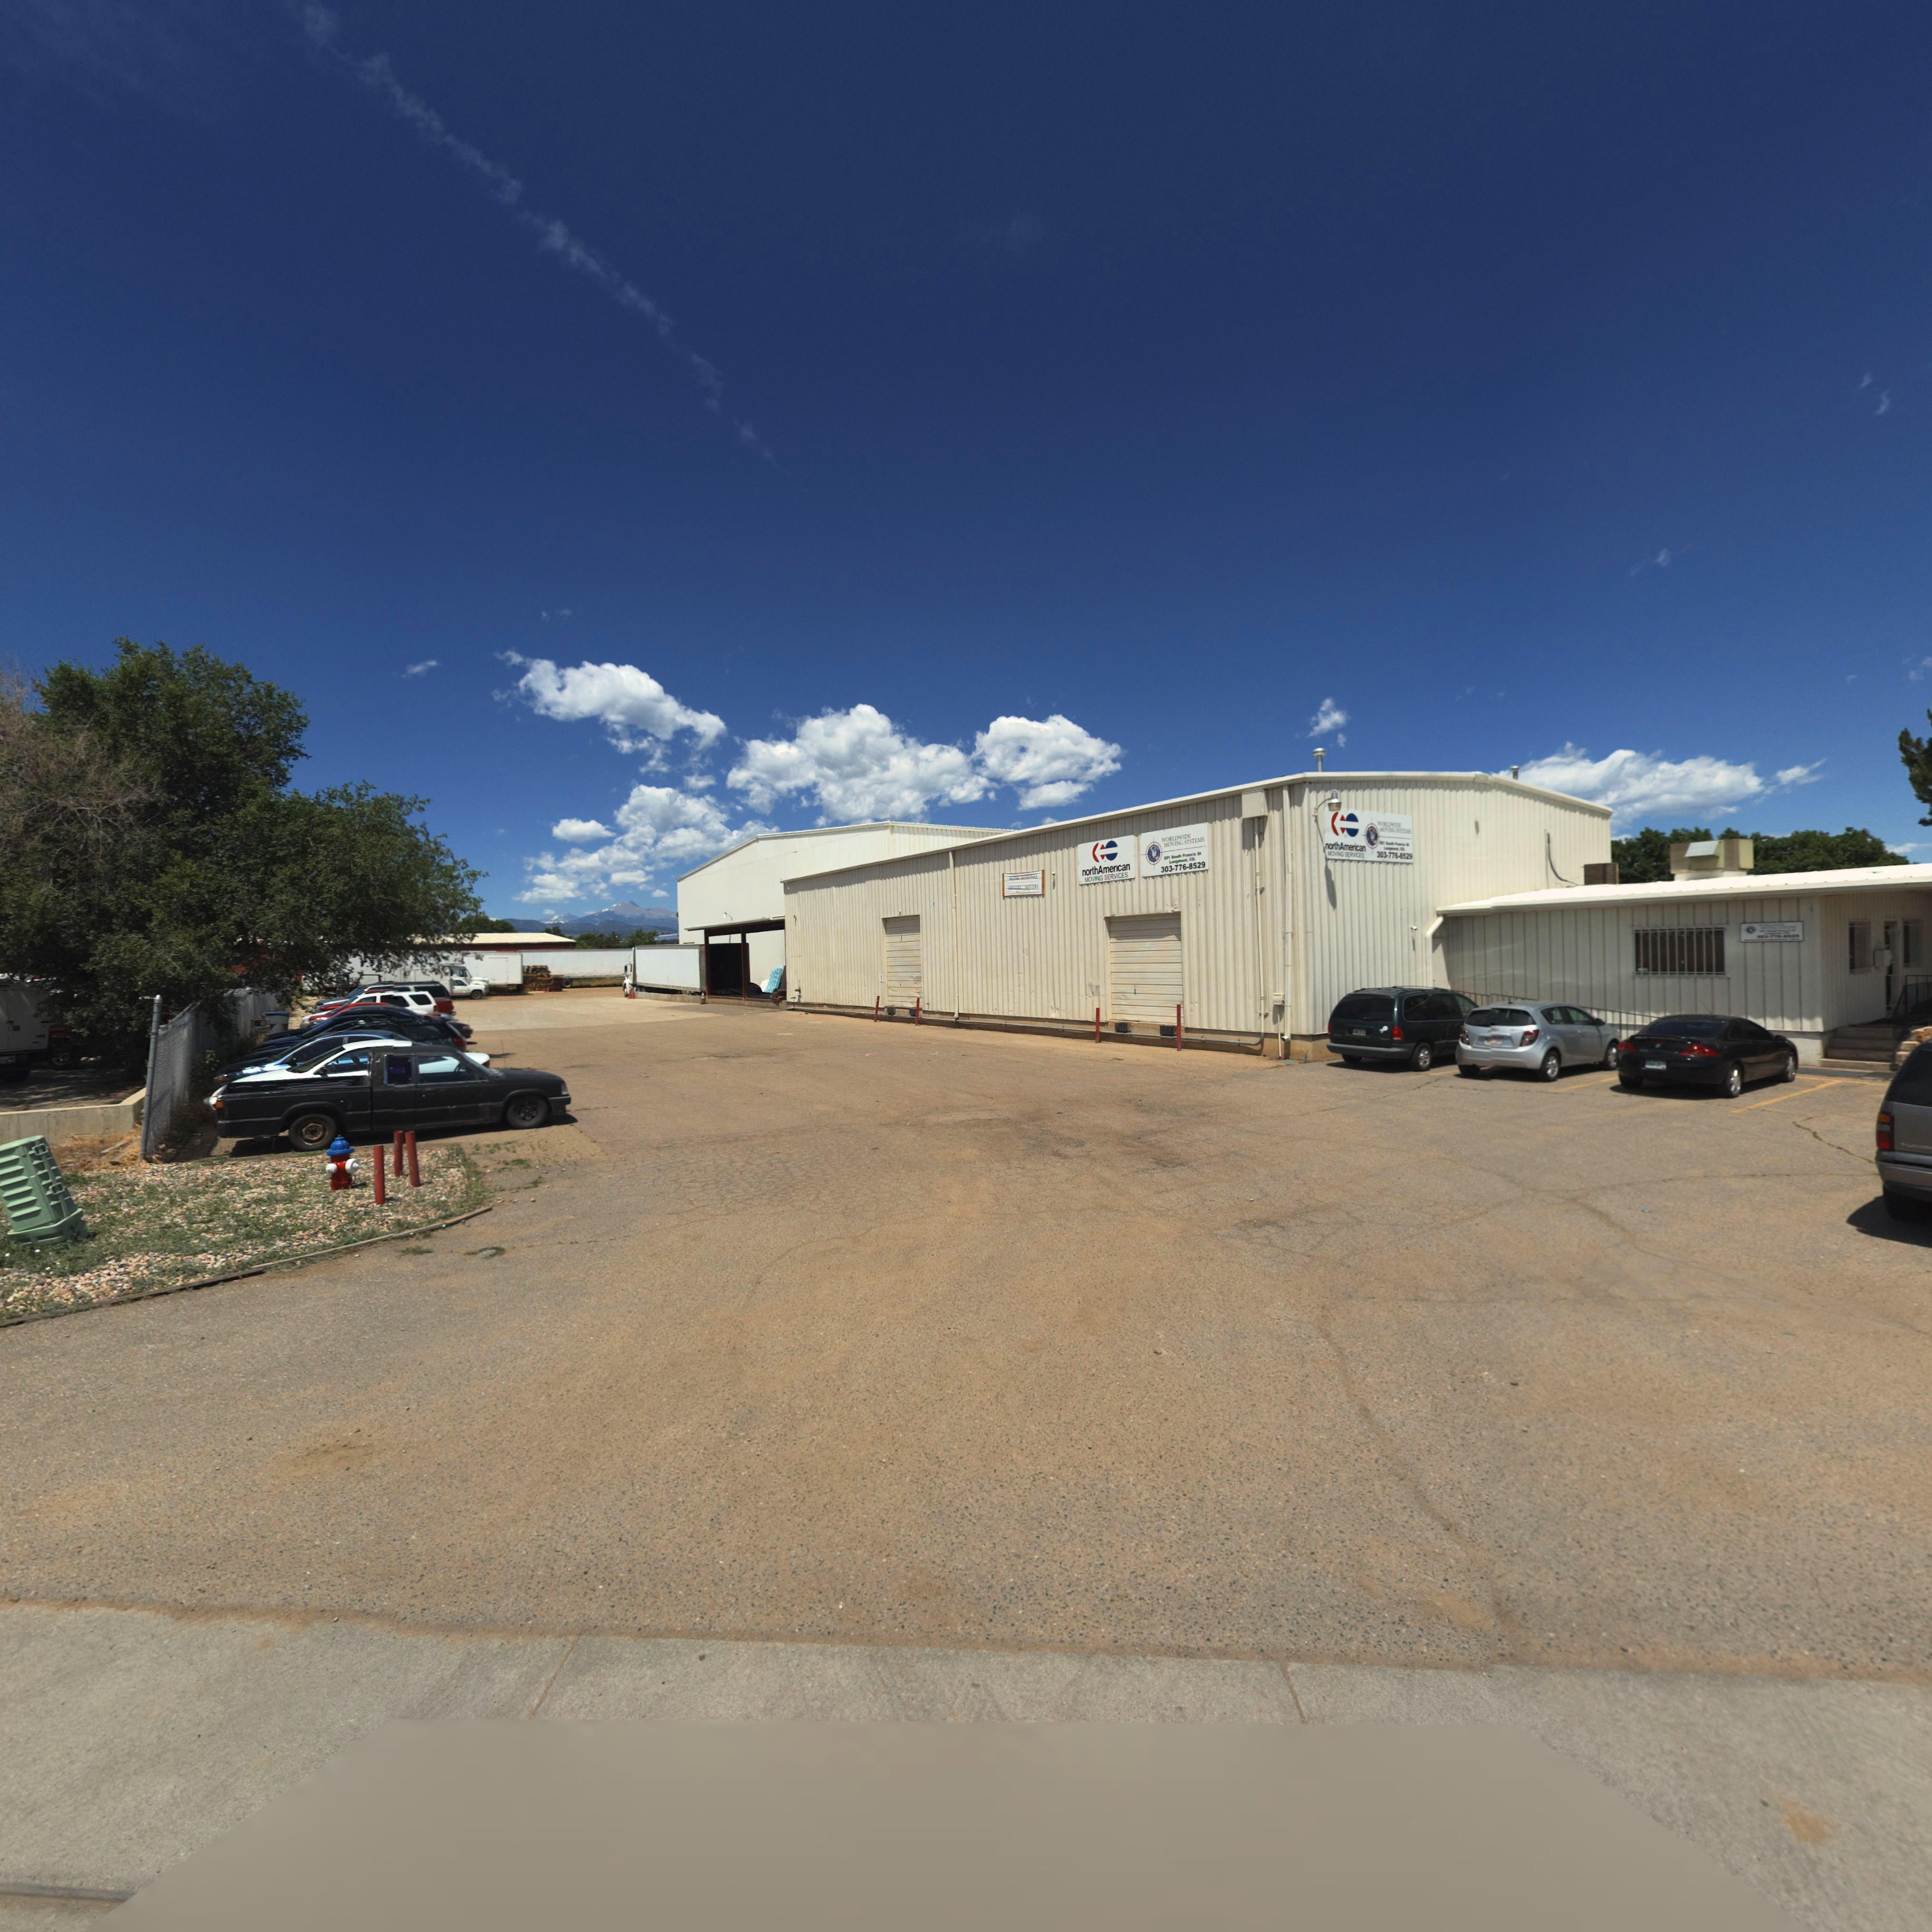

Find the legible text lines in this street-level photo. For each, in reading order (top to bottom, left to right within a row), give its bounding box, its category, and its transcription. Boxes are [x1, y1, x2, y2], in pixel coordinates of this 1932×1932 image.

[1377, 821, 1401, 828] BusinessName: WORLDWIDE
[1379, 826, 1411, 834] BusinessName: MO***G SYST*MS
[1161, 832, 1191, 842] BusinessName: WORLDWIDE
[1163, 836, 1205, 848] BusinessName: MOVING SERVICES
[1324, 841, 1366, 852] BusinessName: northAmerica
[1163, 855, 1170, 860] StreetNumber: 501
[1171, 851, 1201, 859] StreetName: So*th Francis St
[1327, 850, 1364, 858] BusinessName: MOVING SERVICES
[1082, 863, 1130, 877] BusinessName: northAmerican
[1084, 871, 1129, 883] BusinessName: MOVING SERVICES